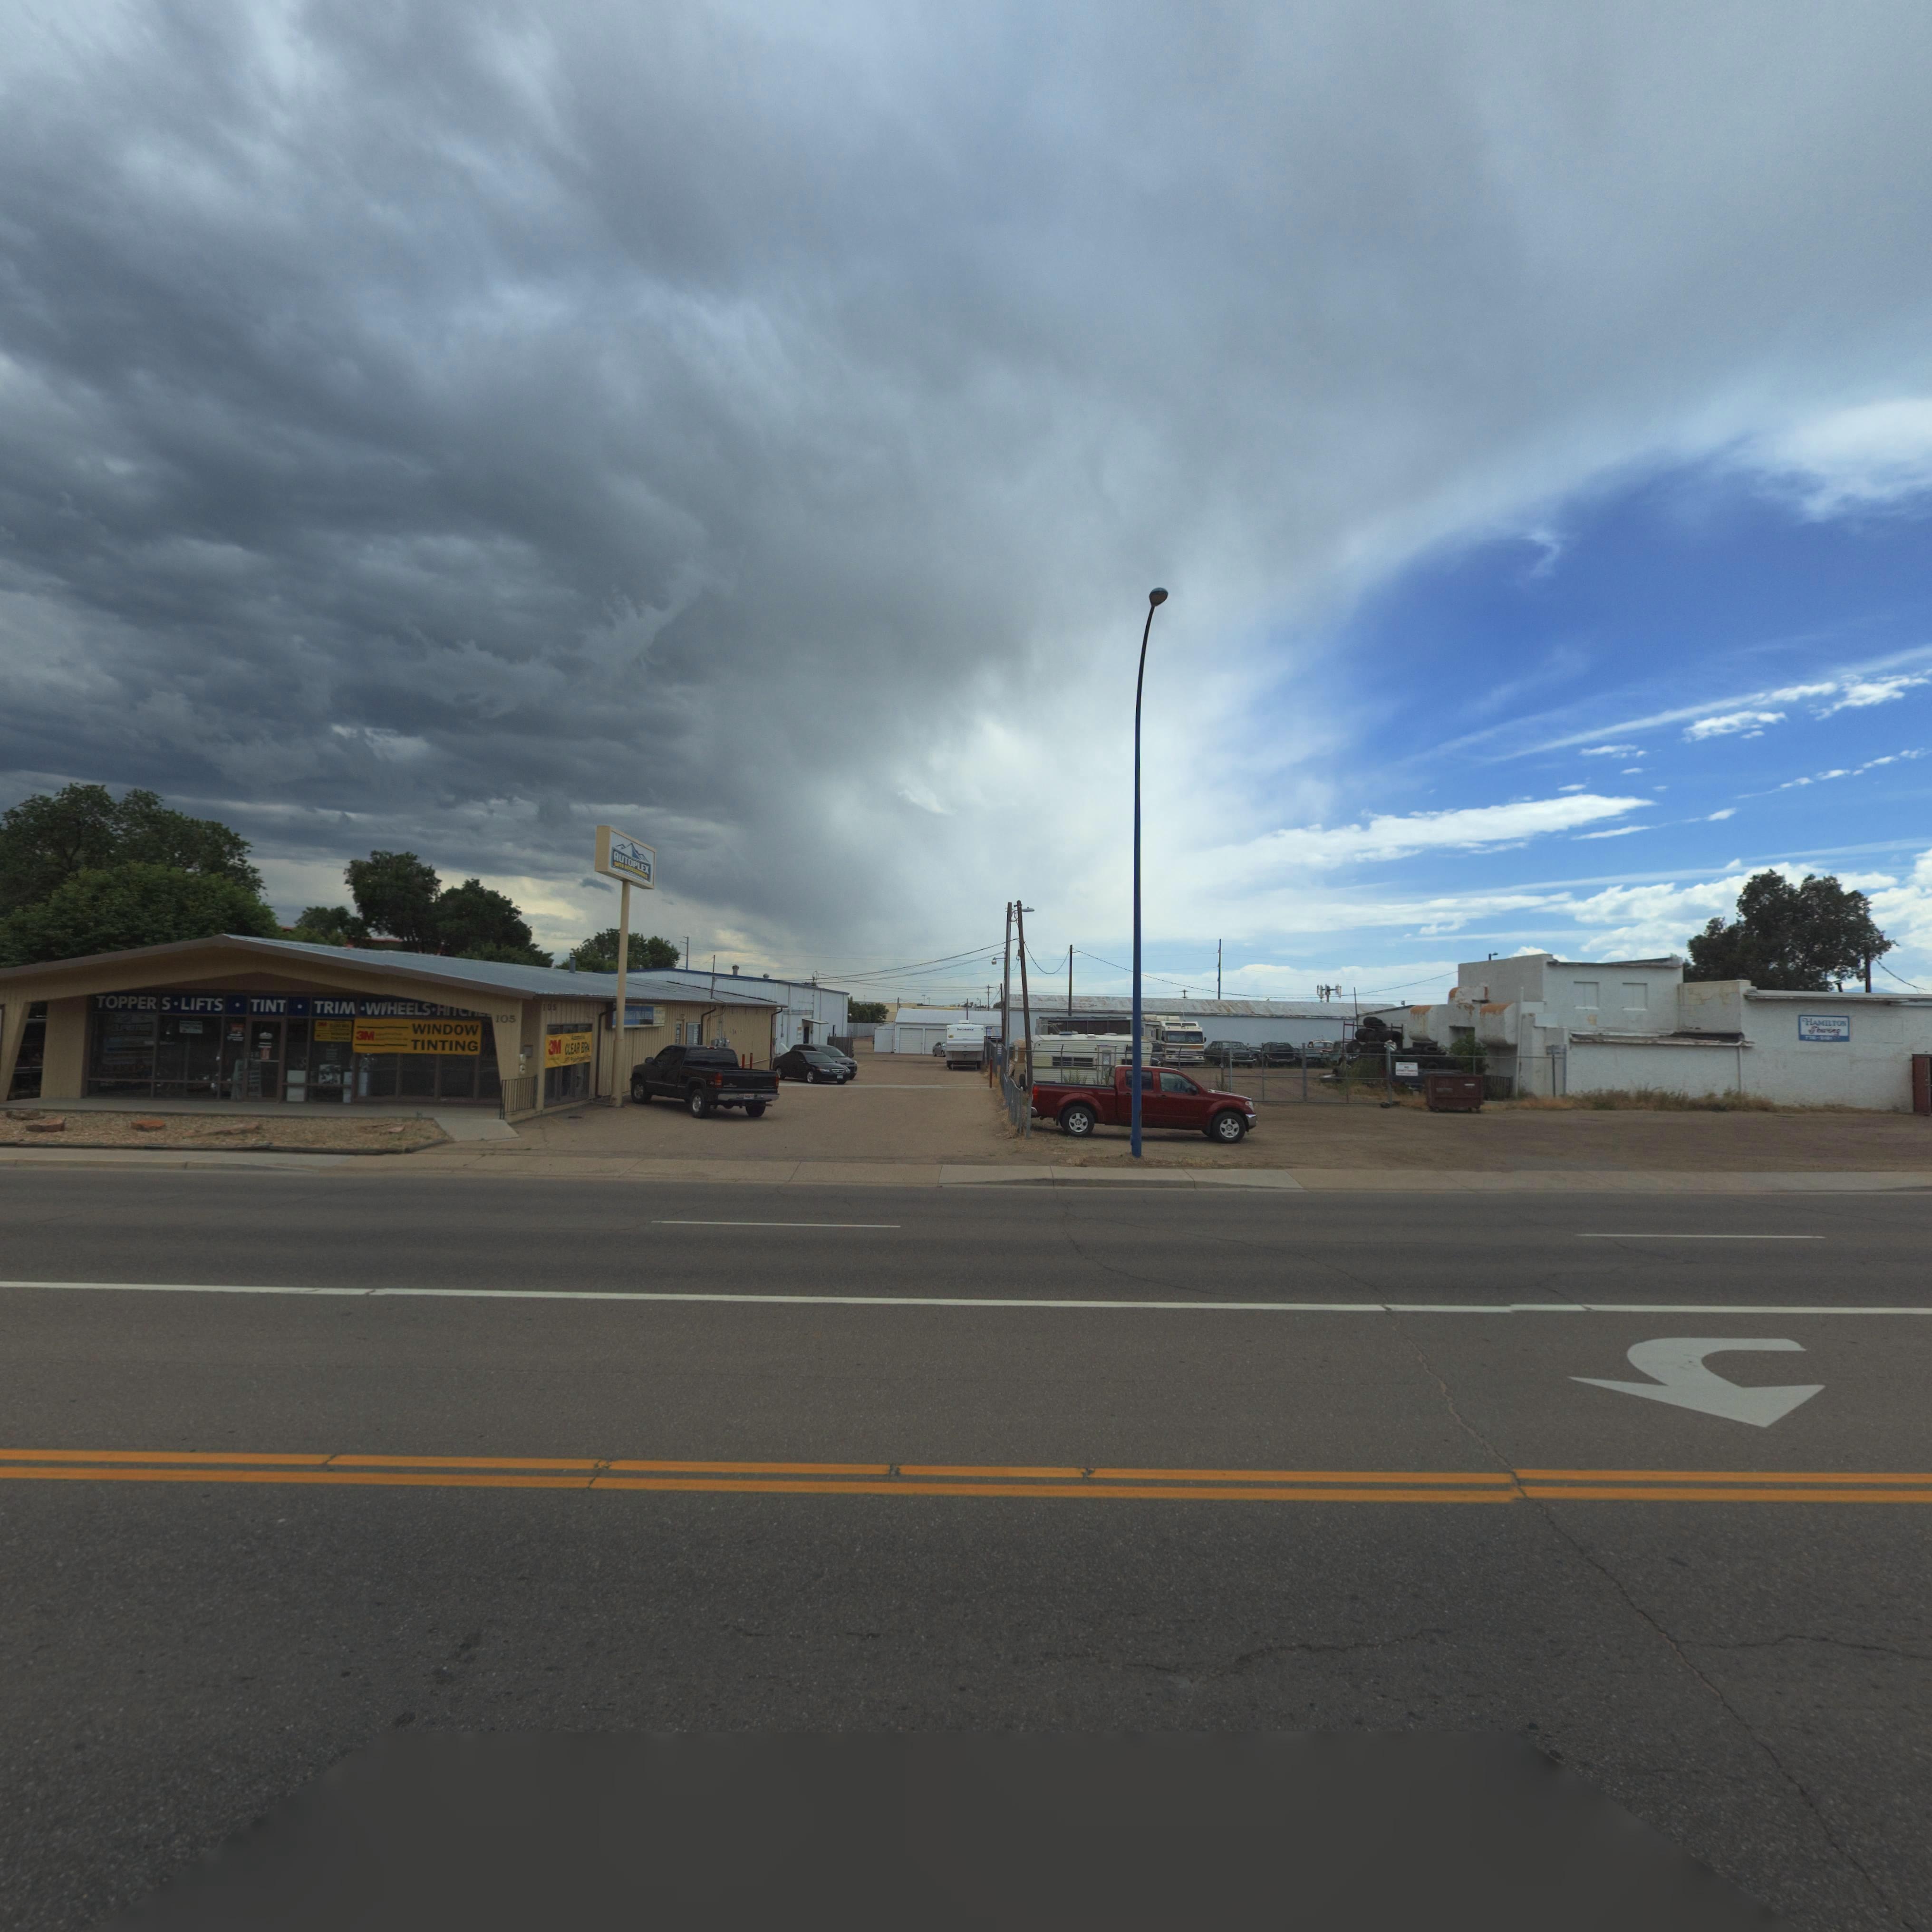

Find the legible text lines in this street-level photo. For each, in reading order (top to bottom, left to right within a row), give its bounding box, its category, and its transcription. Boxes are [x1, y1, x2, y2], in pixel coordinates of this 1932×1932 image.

[613, 850, 649, 874] BusinessName: AUTOPLEX
[614, 861, 647, 879] BusinessName: AUTO ACCESSORIES
[542, 1003, 557, 1011] StreetNumber: 105
[495, 1014, 516, 1023] StreetNumber: 105
[1802, 1017, 1846, 1026] BusinessName: HAMILTON
[1807, 1025, 1841, 1038] BusinessName: Towing